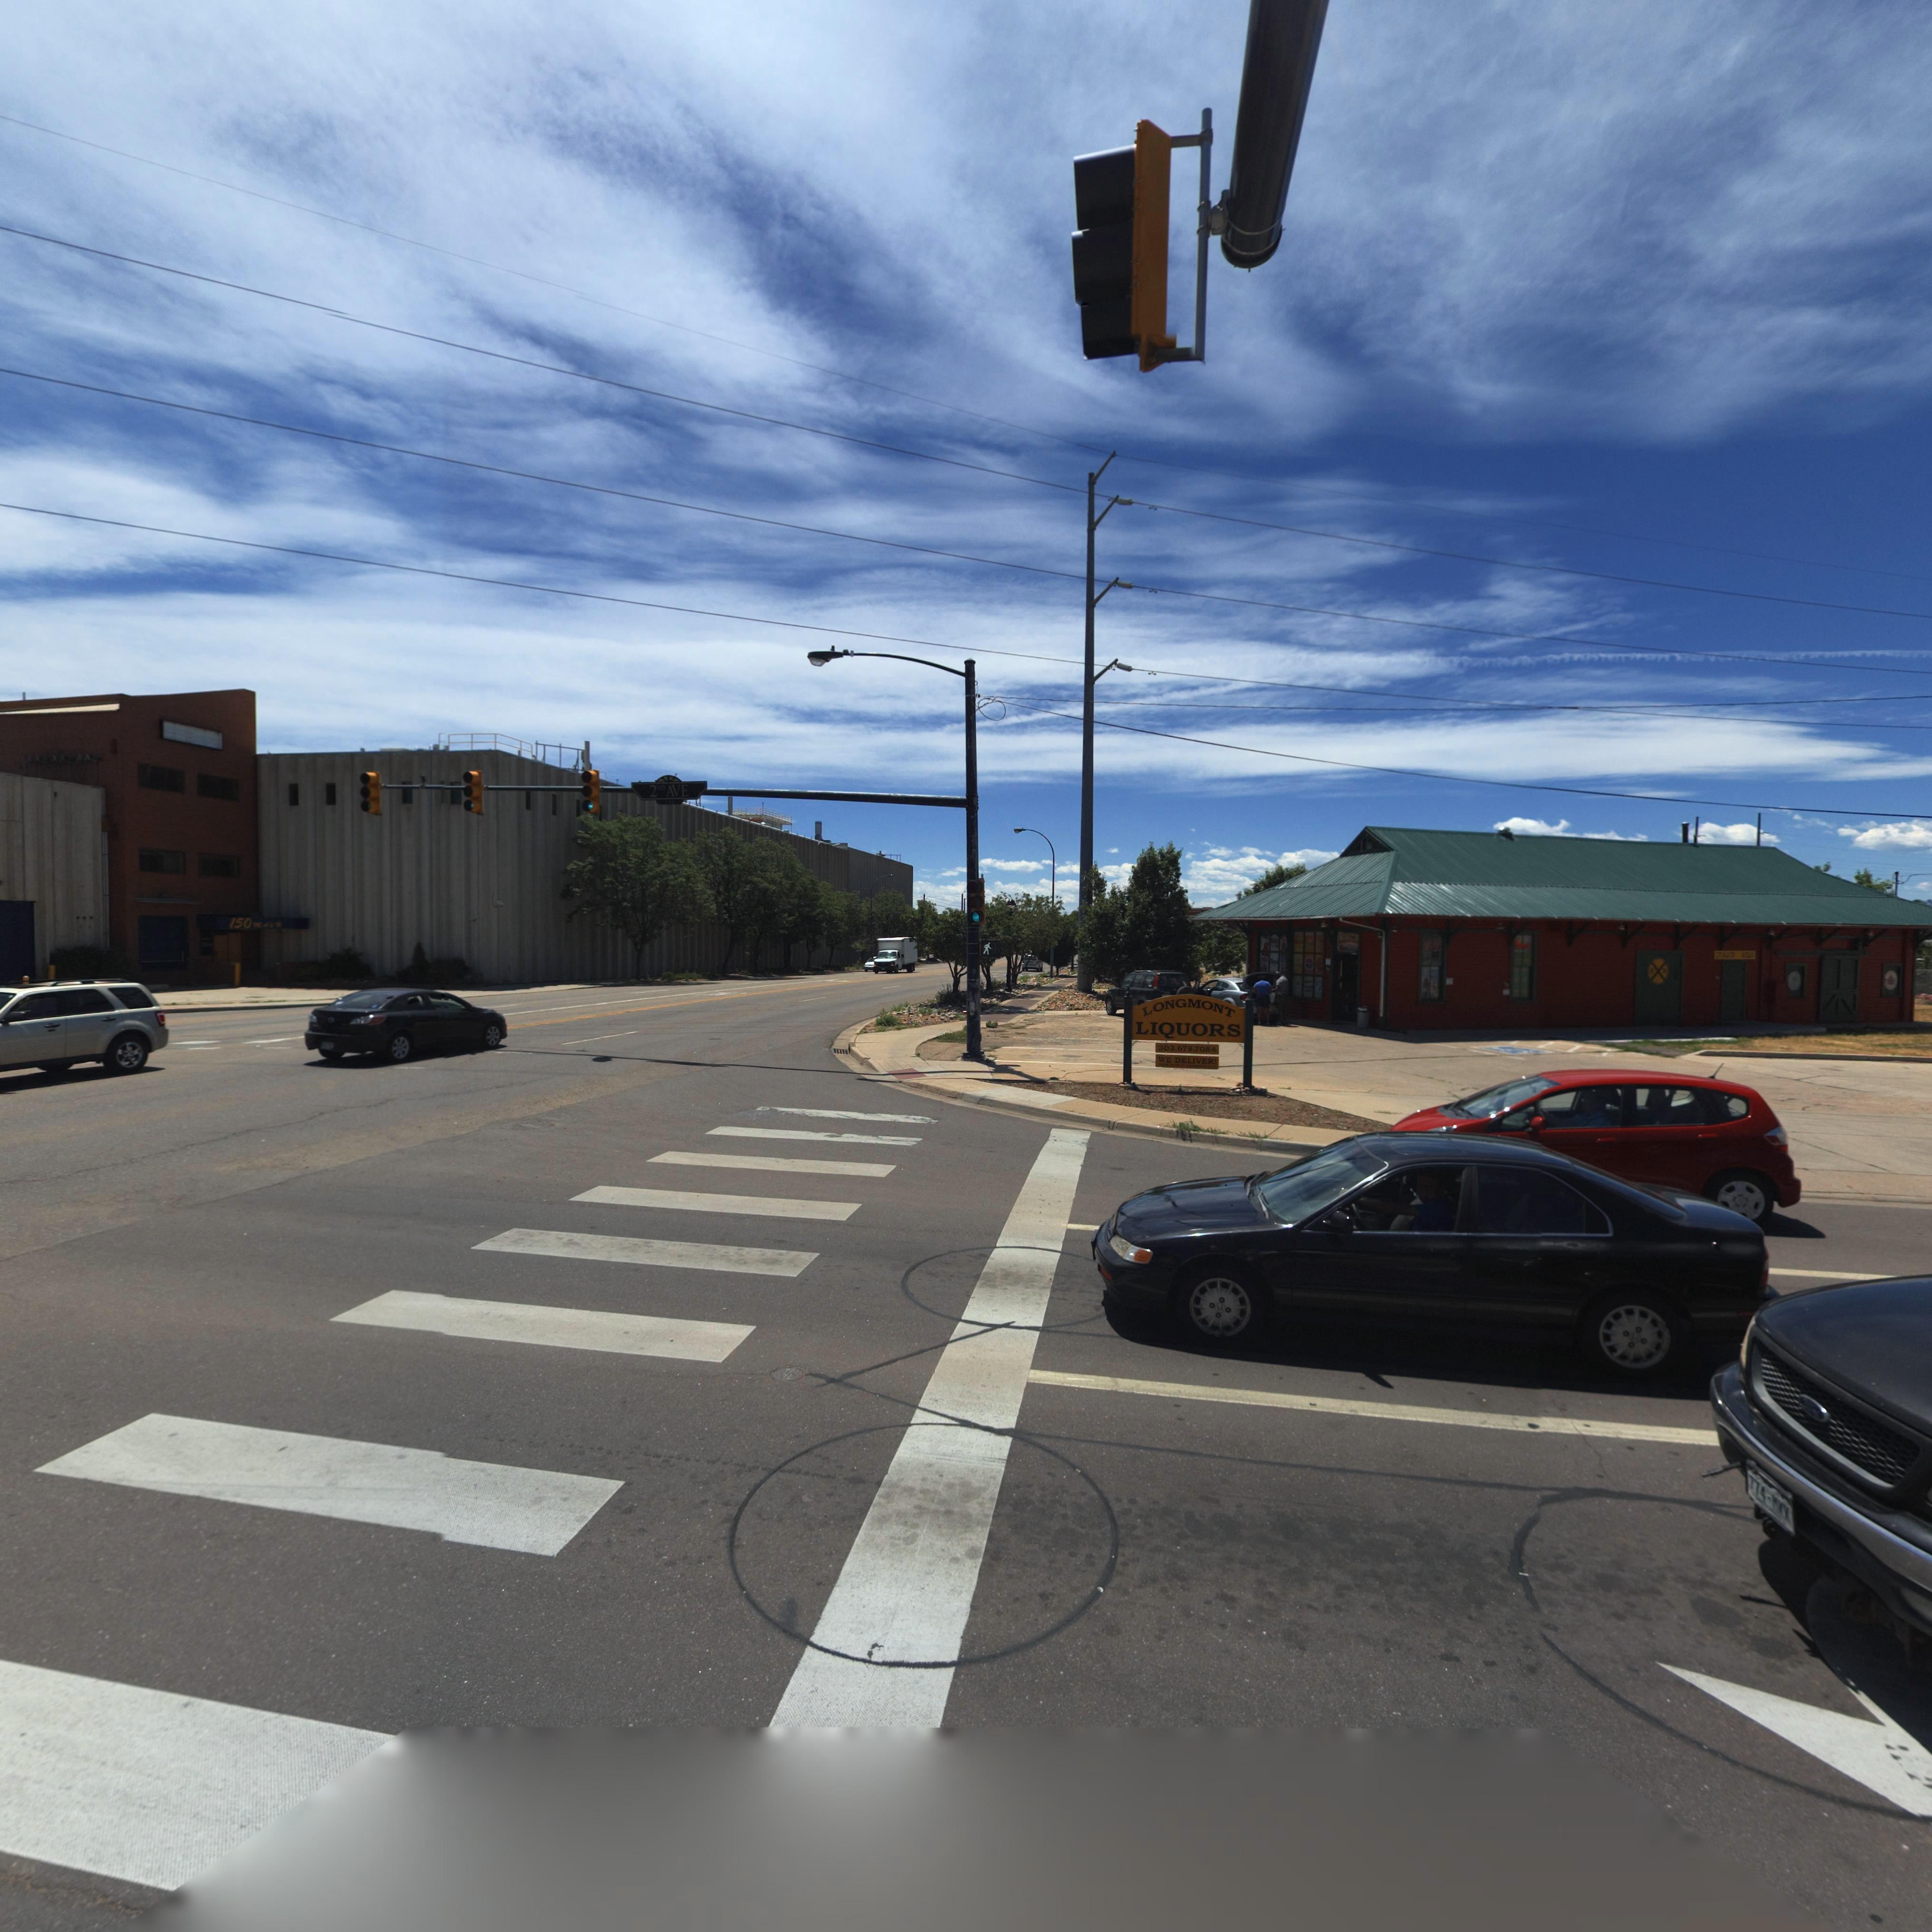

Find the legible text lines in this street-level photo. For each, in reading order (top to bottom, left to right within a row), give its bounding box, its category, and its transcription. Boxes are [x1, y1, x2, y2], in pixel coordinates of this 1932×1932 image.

[649, 783, 689, 798] StreetName: 2ND AVE
[229, 917, 253, 930] StreetNumber: 150
[252, 921, 283, 928] StreetName: MAIN
[1141, 997, 1236, 1018] BusinessName: LONGMONT
[1134, 1020, 1242, 1040] BusinessName: LIQUORS